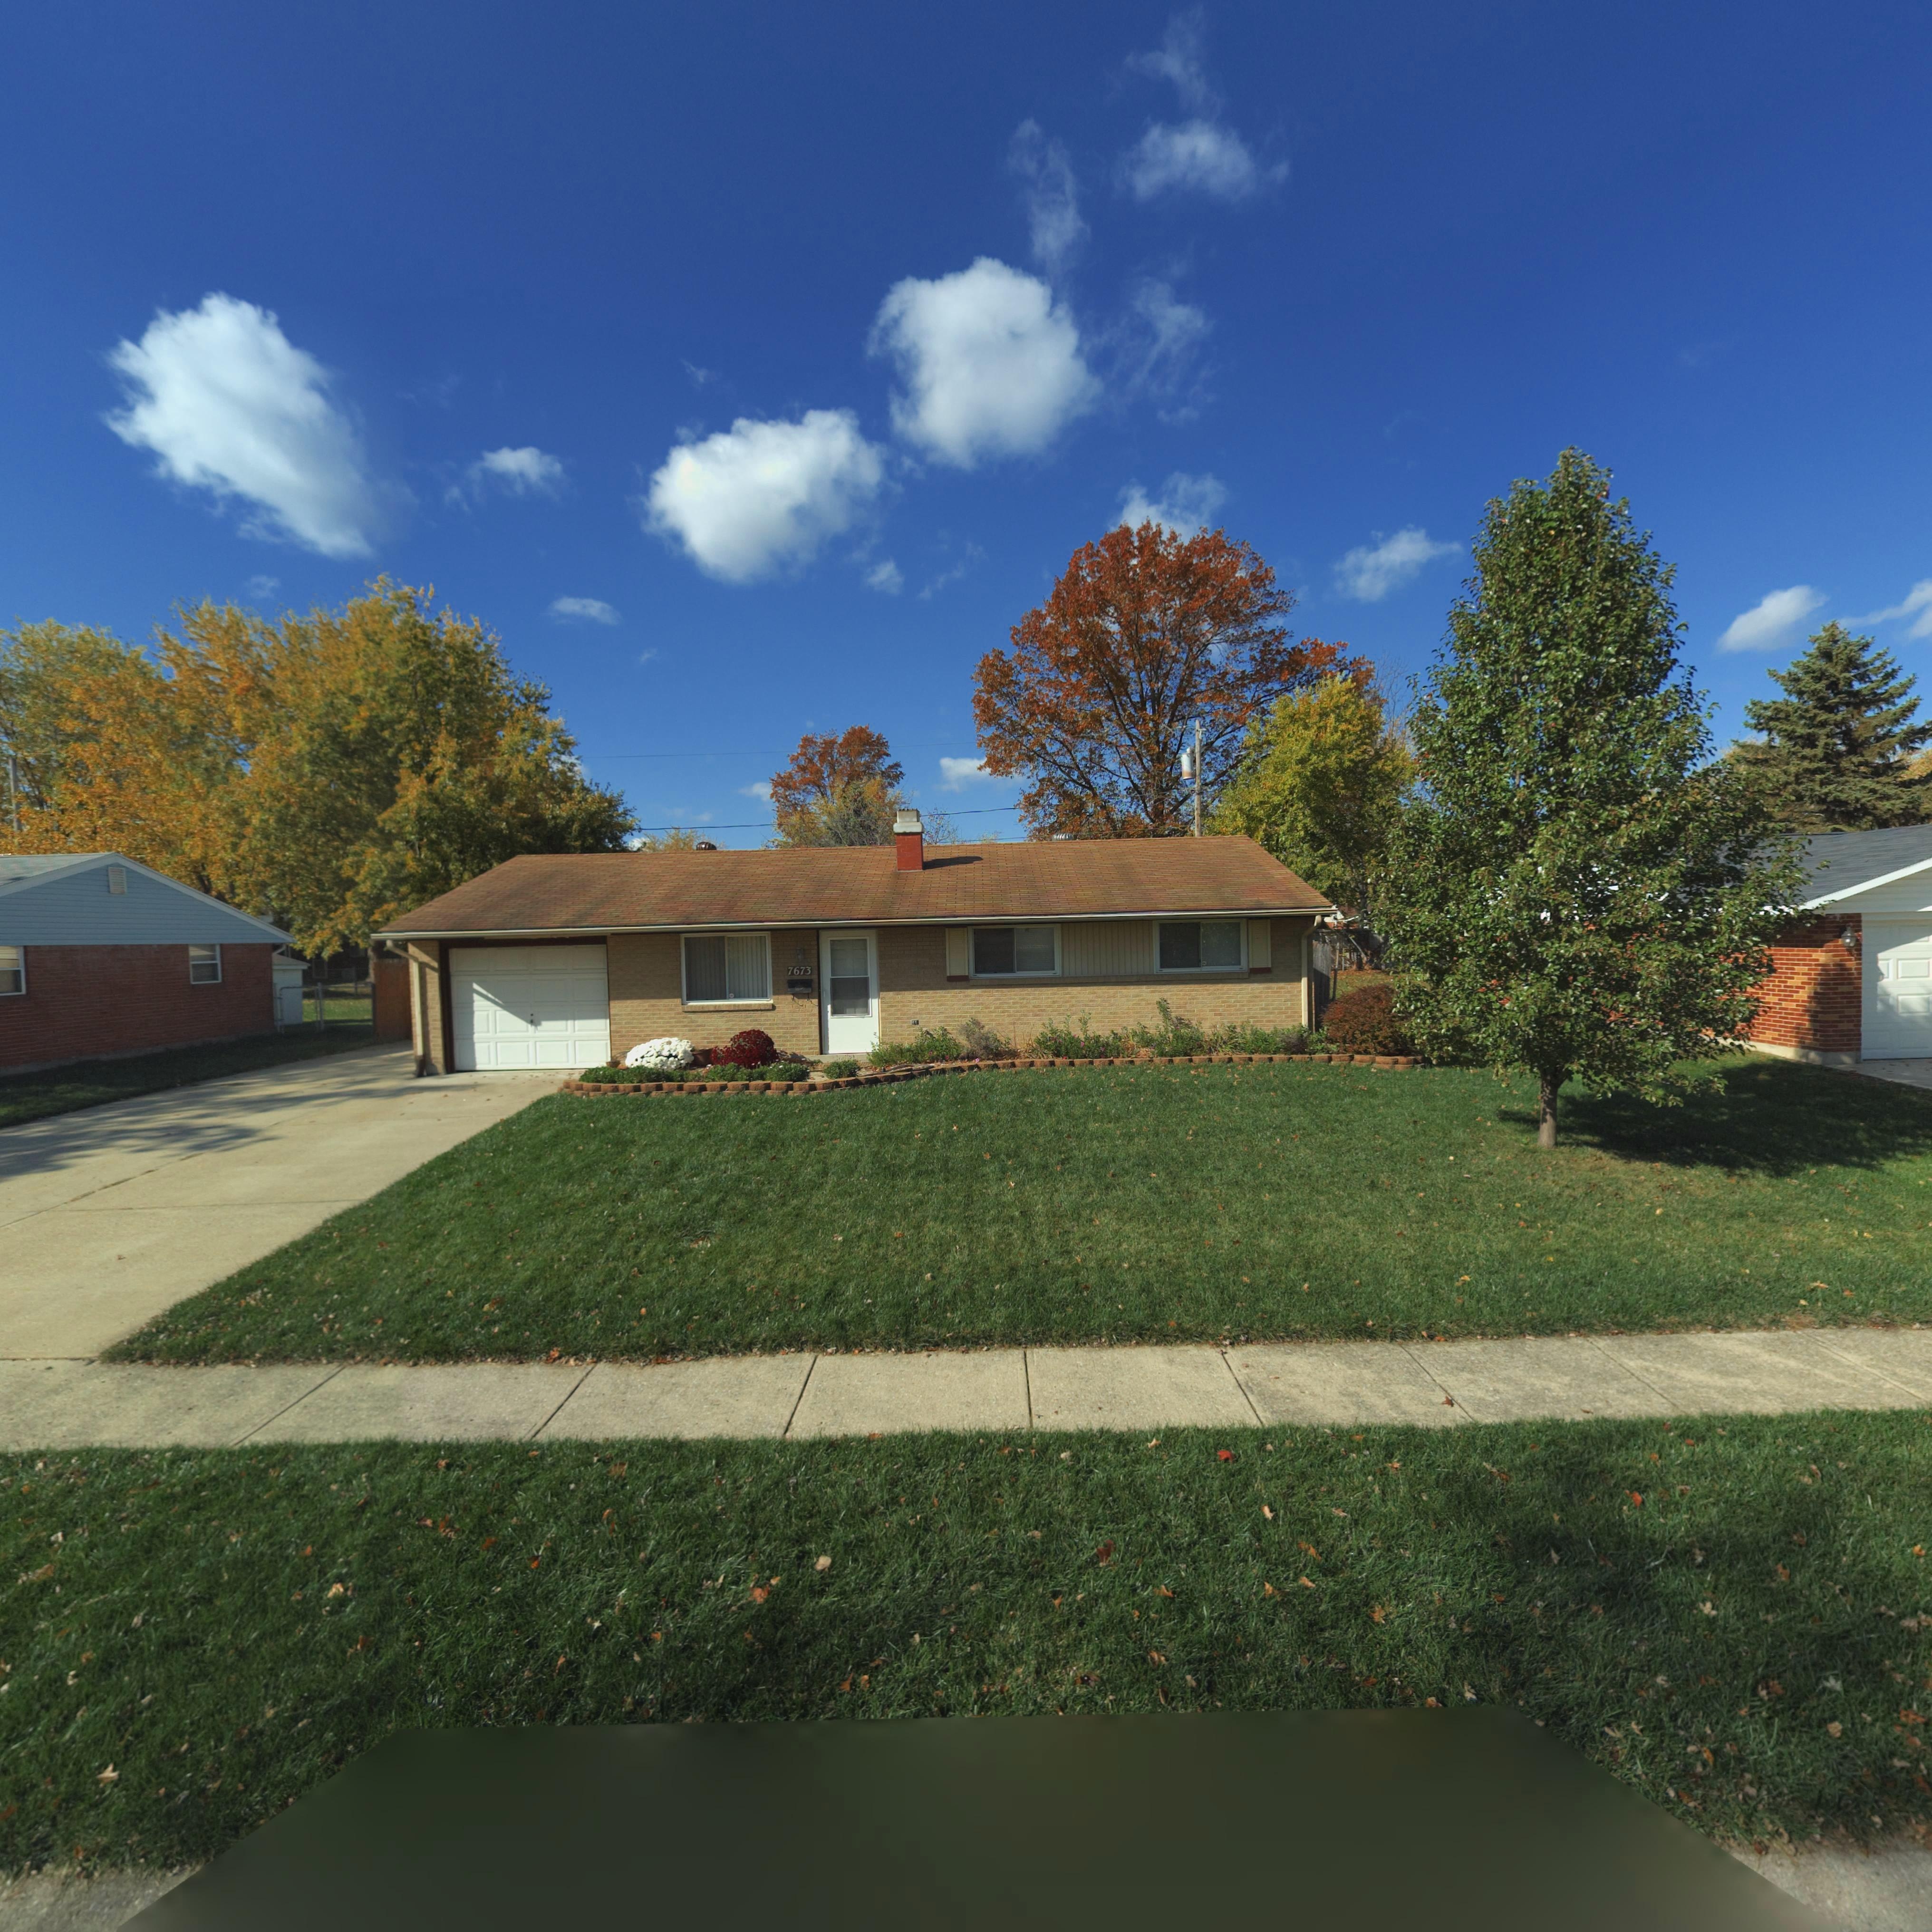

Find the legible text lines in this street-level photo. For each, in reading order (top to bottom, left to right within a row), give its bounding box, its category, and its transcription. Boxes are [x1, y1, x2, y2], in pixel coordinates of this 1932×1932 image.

[787, 966, 812, 976] StreetNumber: 7673